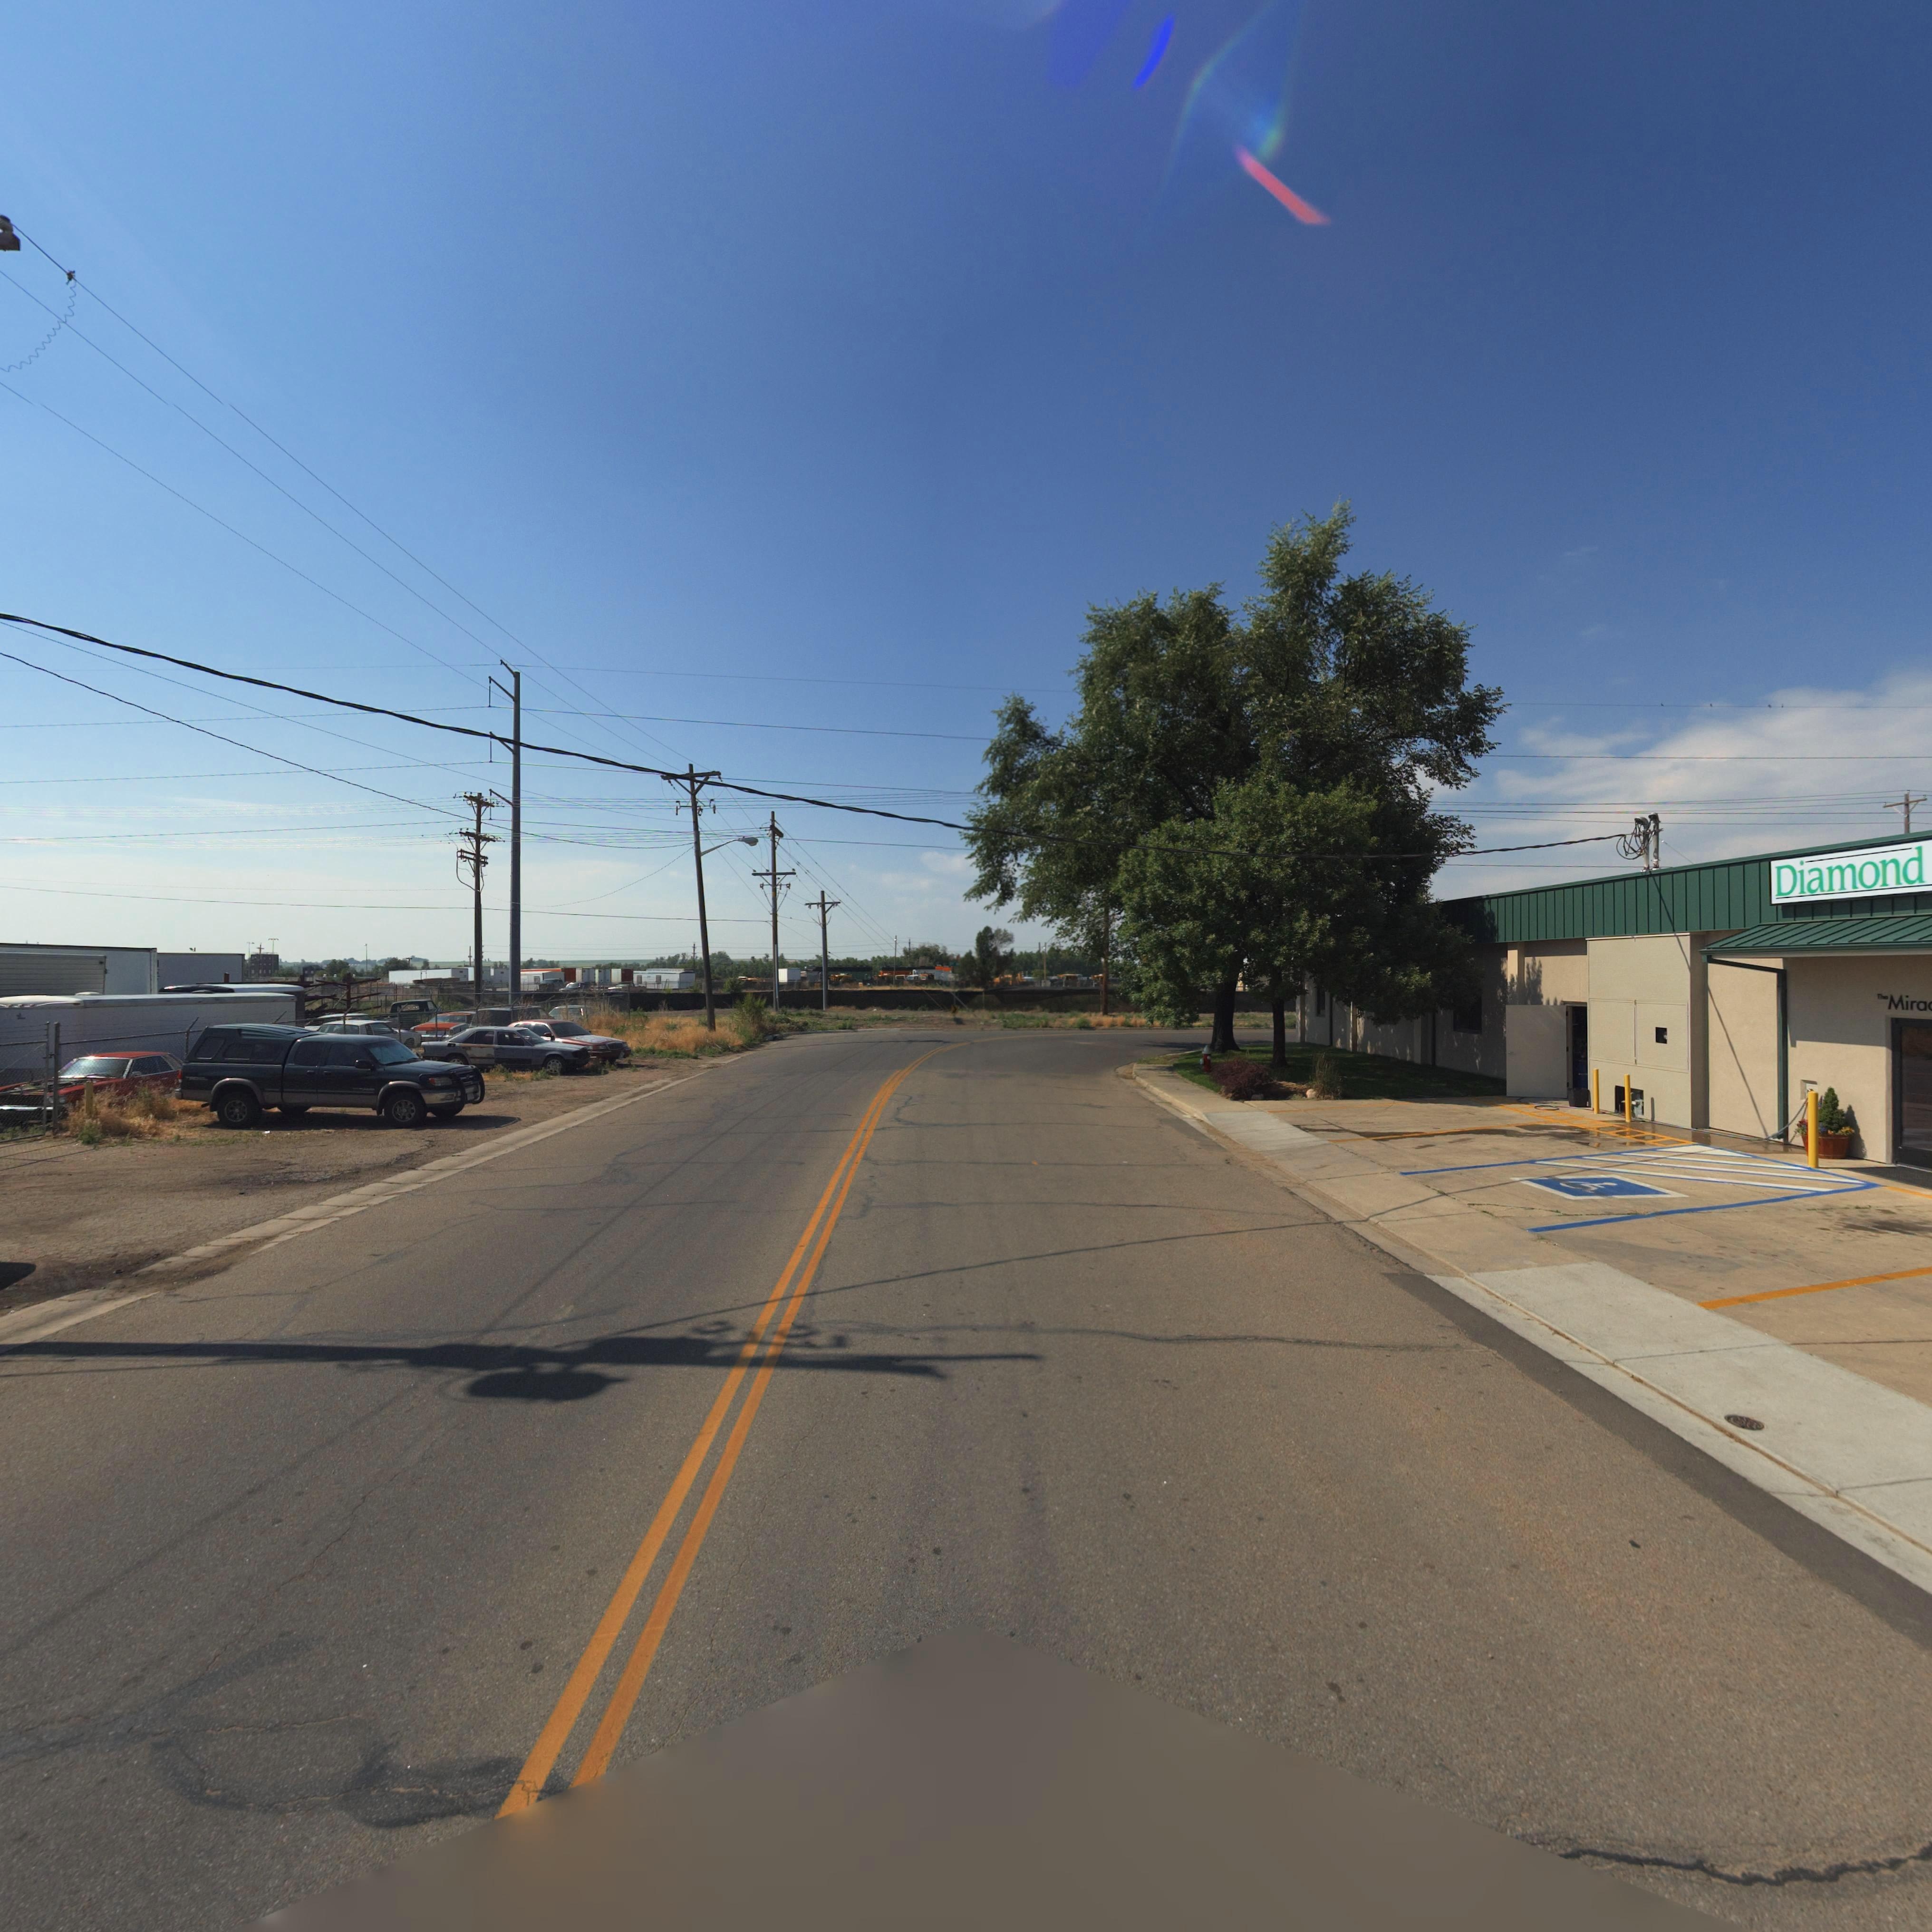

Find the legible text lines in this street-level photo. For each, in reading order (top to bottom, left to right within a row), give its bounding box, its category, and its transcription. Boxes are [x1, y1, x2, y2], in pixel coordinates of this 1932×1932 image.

[1775, 843, 1925, 898] BusinessName: Diamond
[1876, 993, 1889, 1000] BusinessName: The
[1887, 994, 1928, 1012] BusinessName: Mira